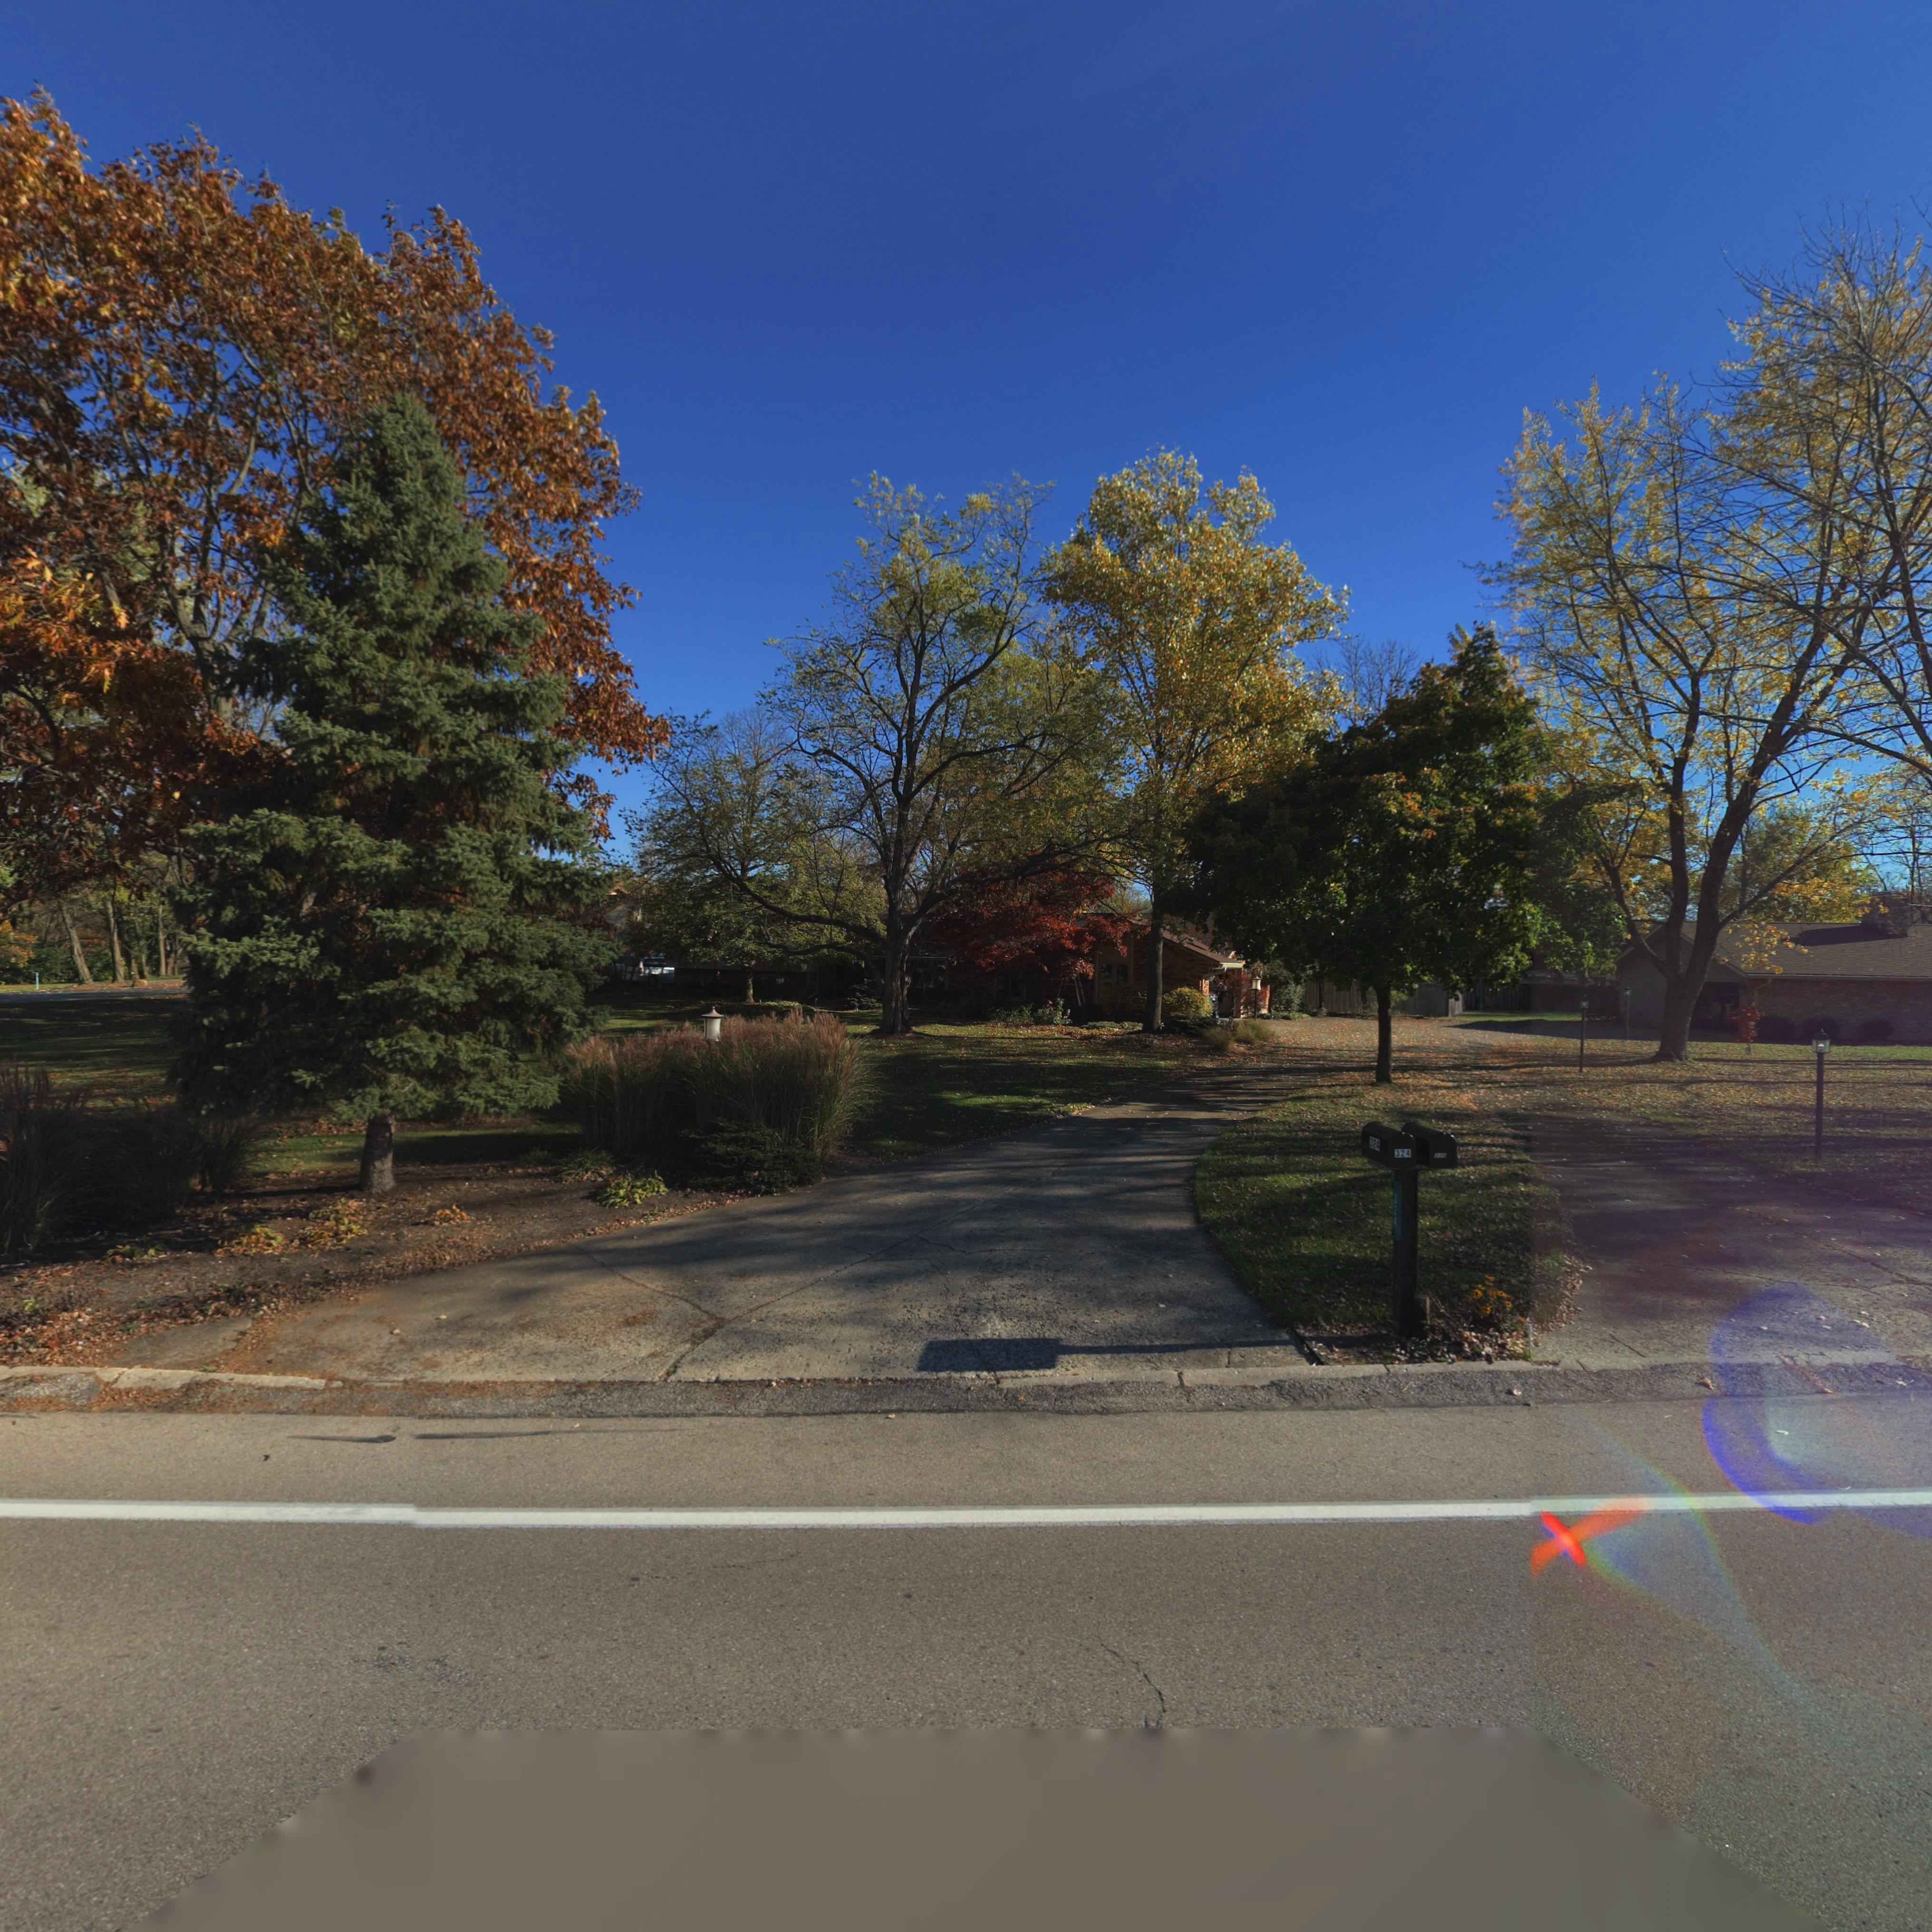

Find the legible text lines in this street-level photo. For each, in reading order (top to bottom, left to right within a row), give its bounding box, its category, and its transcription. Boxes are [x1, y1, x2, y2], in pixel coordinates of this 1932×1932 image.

[1369, 1136, 1381, 1152] StreetNumber: 324
[1395, 1149, 1411, 1158] StreetNumber: 324
[1392, 1192, 1398, 1227] StreetNumber: 324